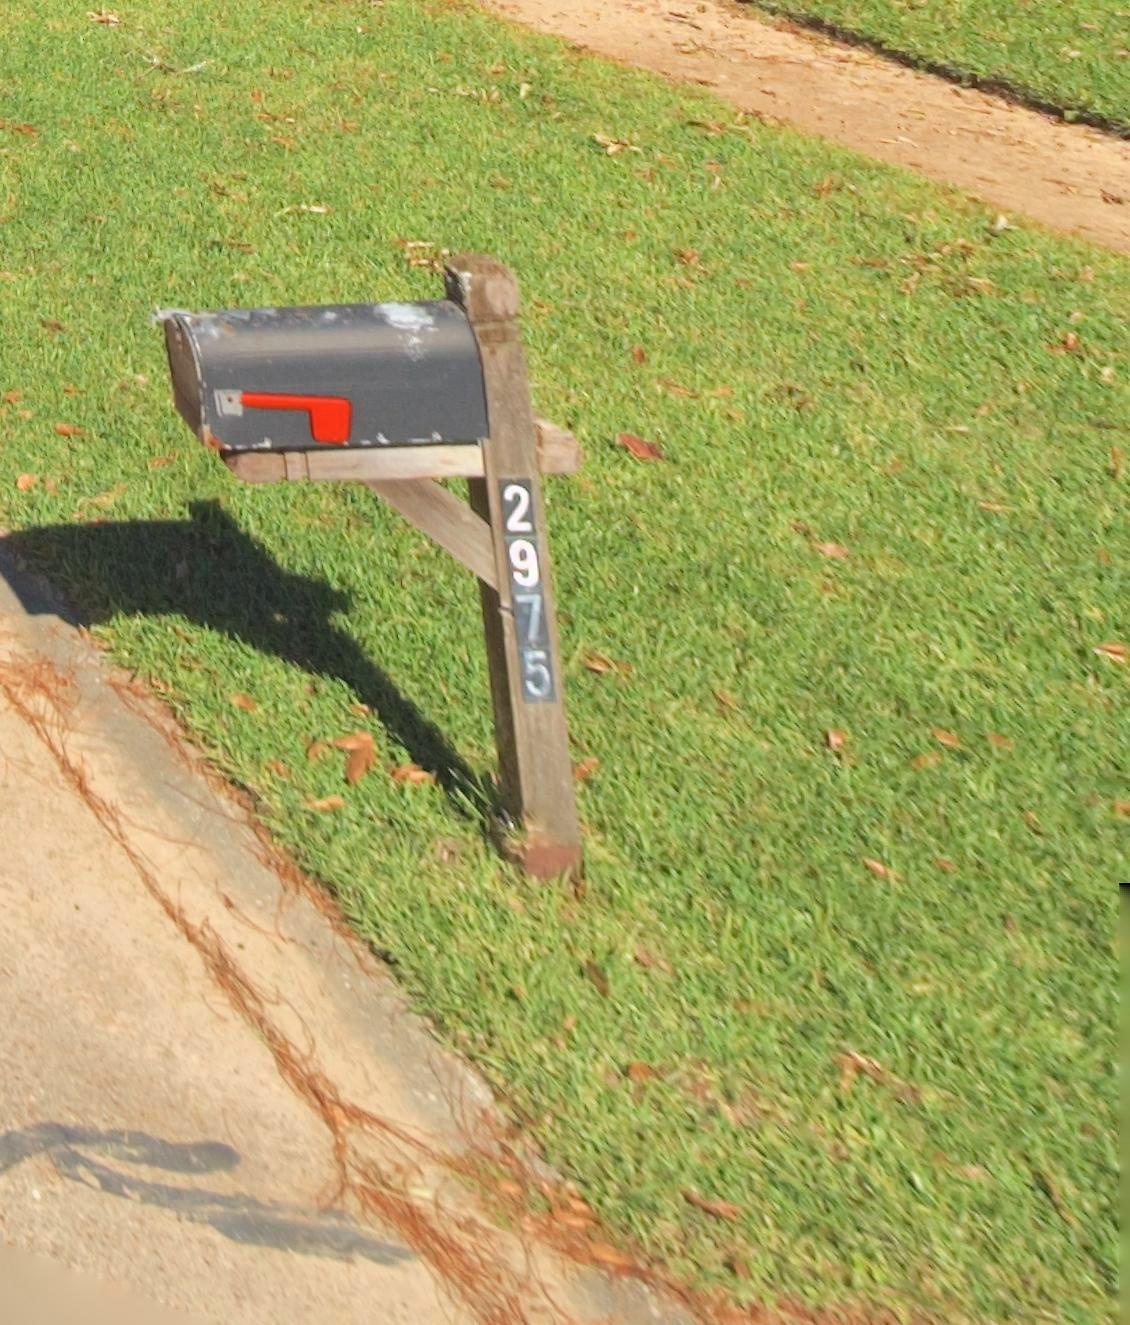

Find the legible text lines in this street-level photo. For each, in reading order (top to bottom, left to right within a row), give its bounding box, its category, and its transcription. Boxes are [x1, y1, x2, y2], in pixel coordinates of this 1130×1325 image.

[499, 479, 555, 701] StreetNumber: 2975